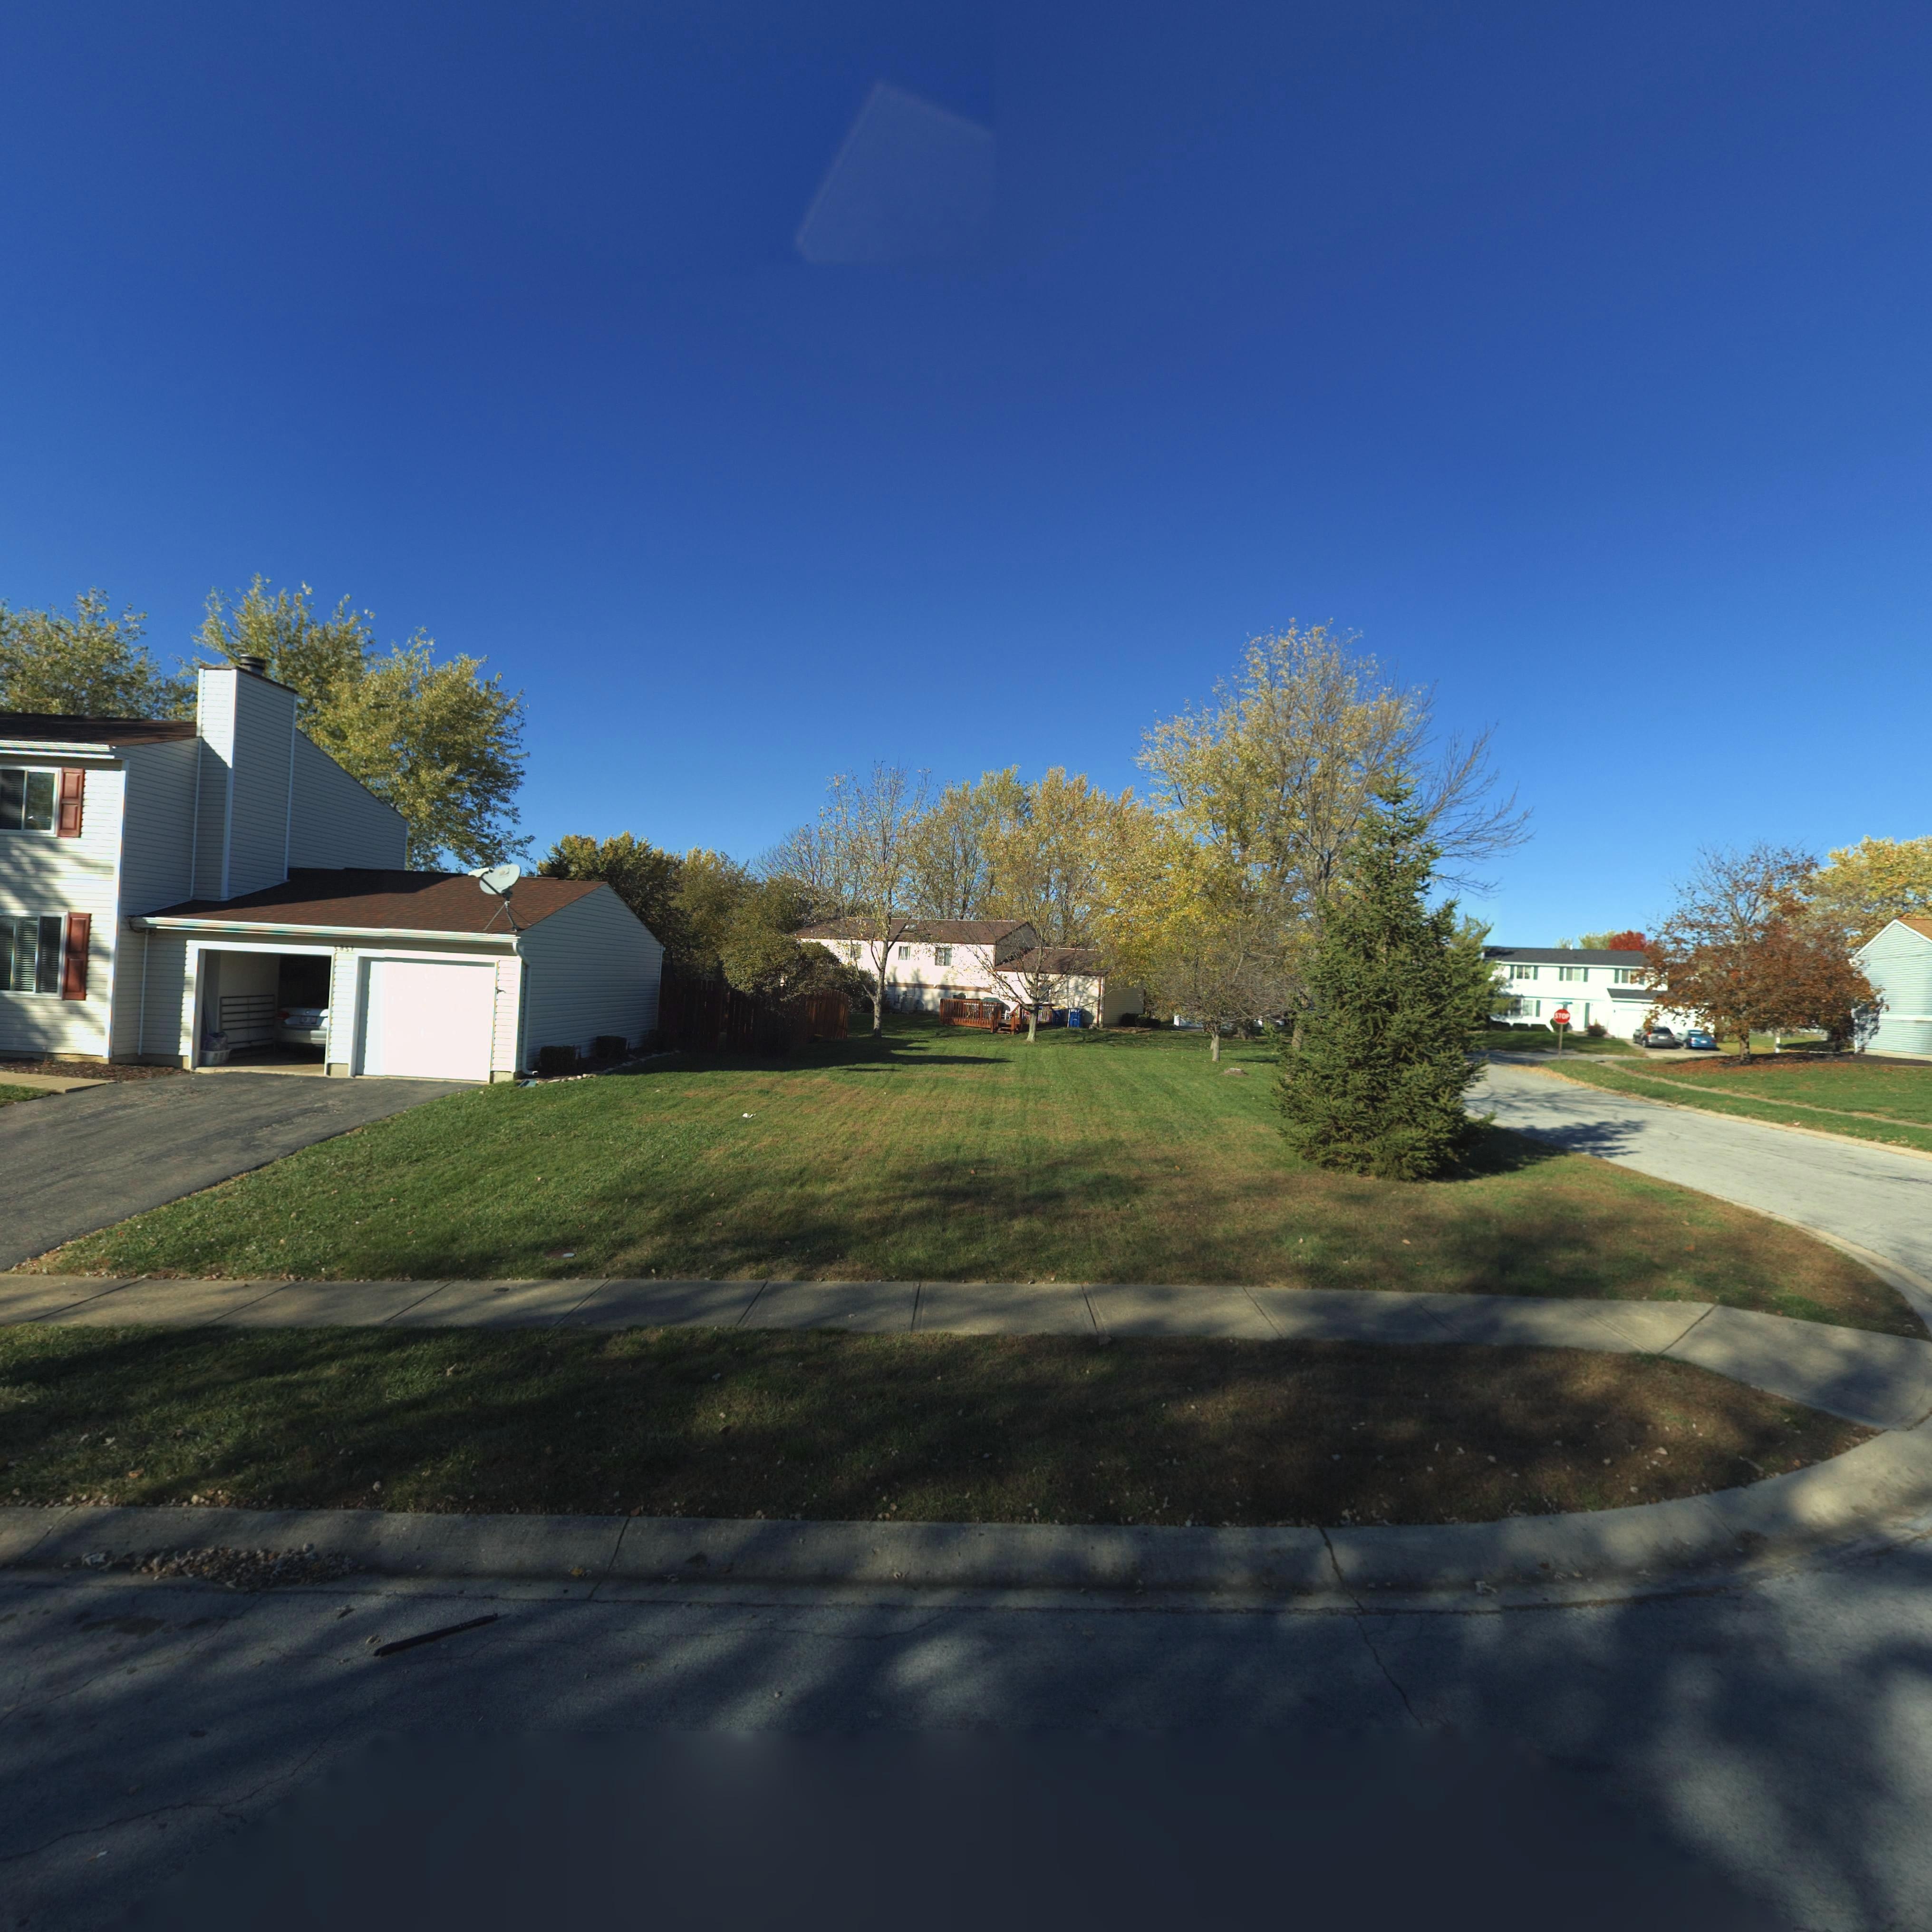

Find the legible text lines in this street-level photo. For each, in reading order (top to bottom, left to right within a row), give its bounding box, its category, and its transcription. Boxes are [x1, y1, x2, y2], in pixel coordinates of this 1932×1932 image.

[333, 944, 354, 953] StreetNumber: 5851